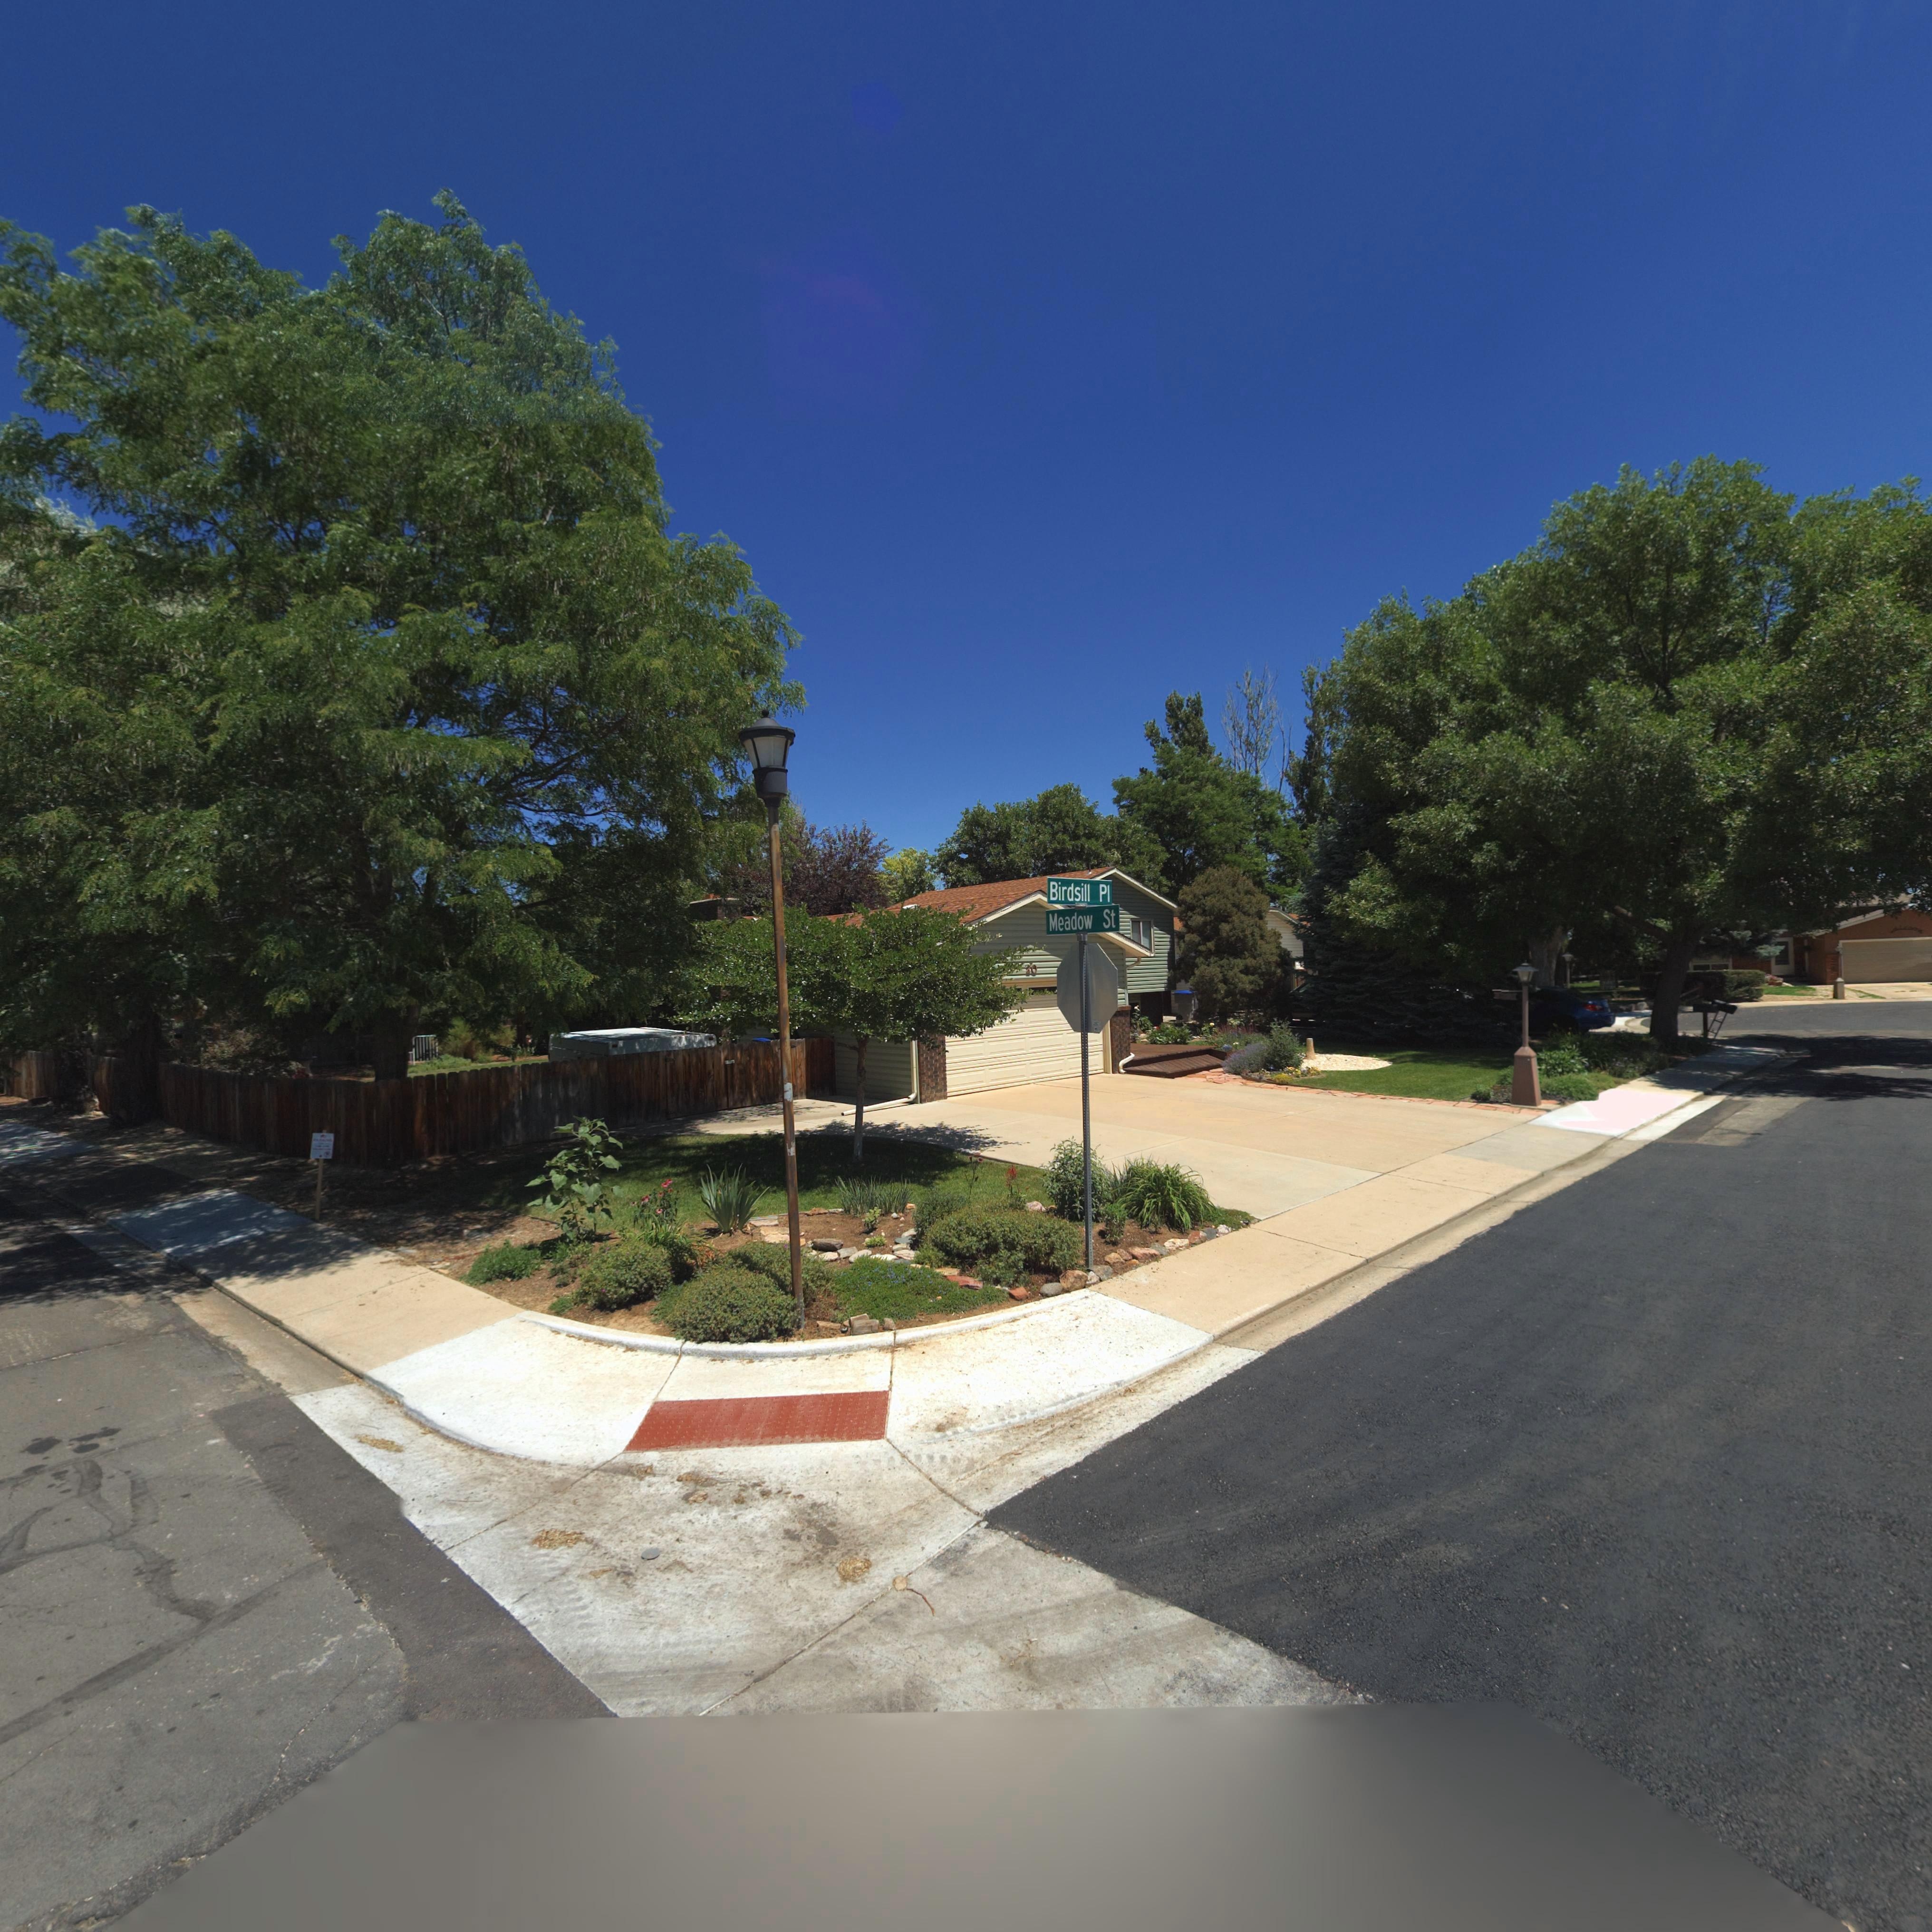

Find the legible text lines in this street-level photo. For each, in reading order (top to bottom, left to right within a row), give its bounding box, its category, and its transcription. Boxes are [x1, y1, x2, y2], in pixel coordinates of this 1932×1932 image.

[1049, 880, 1110, 902] StreetName: Birdsill Pl
[1048, 908, 1116, 931] StreetName: Meadow St